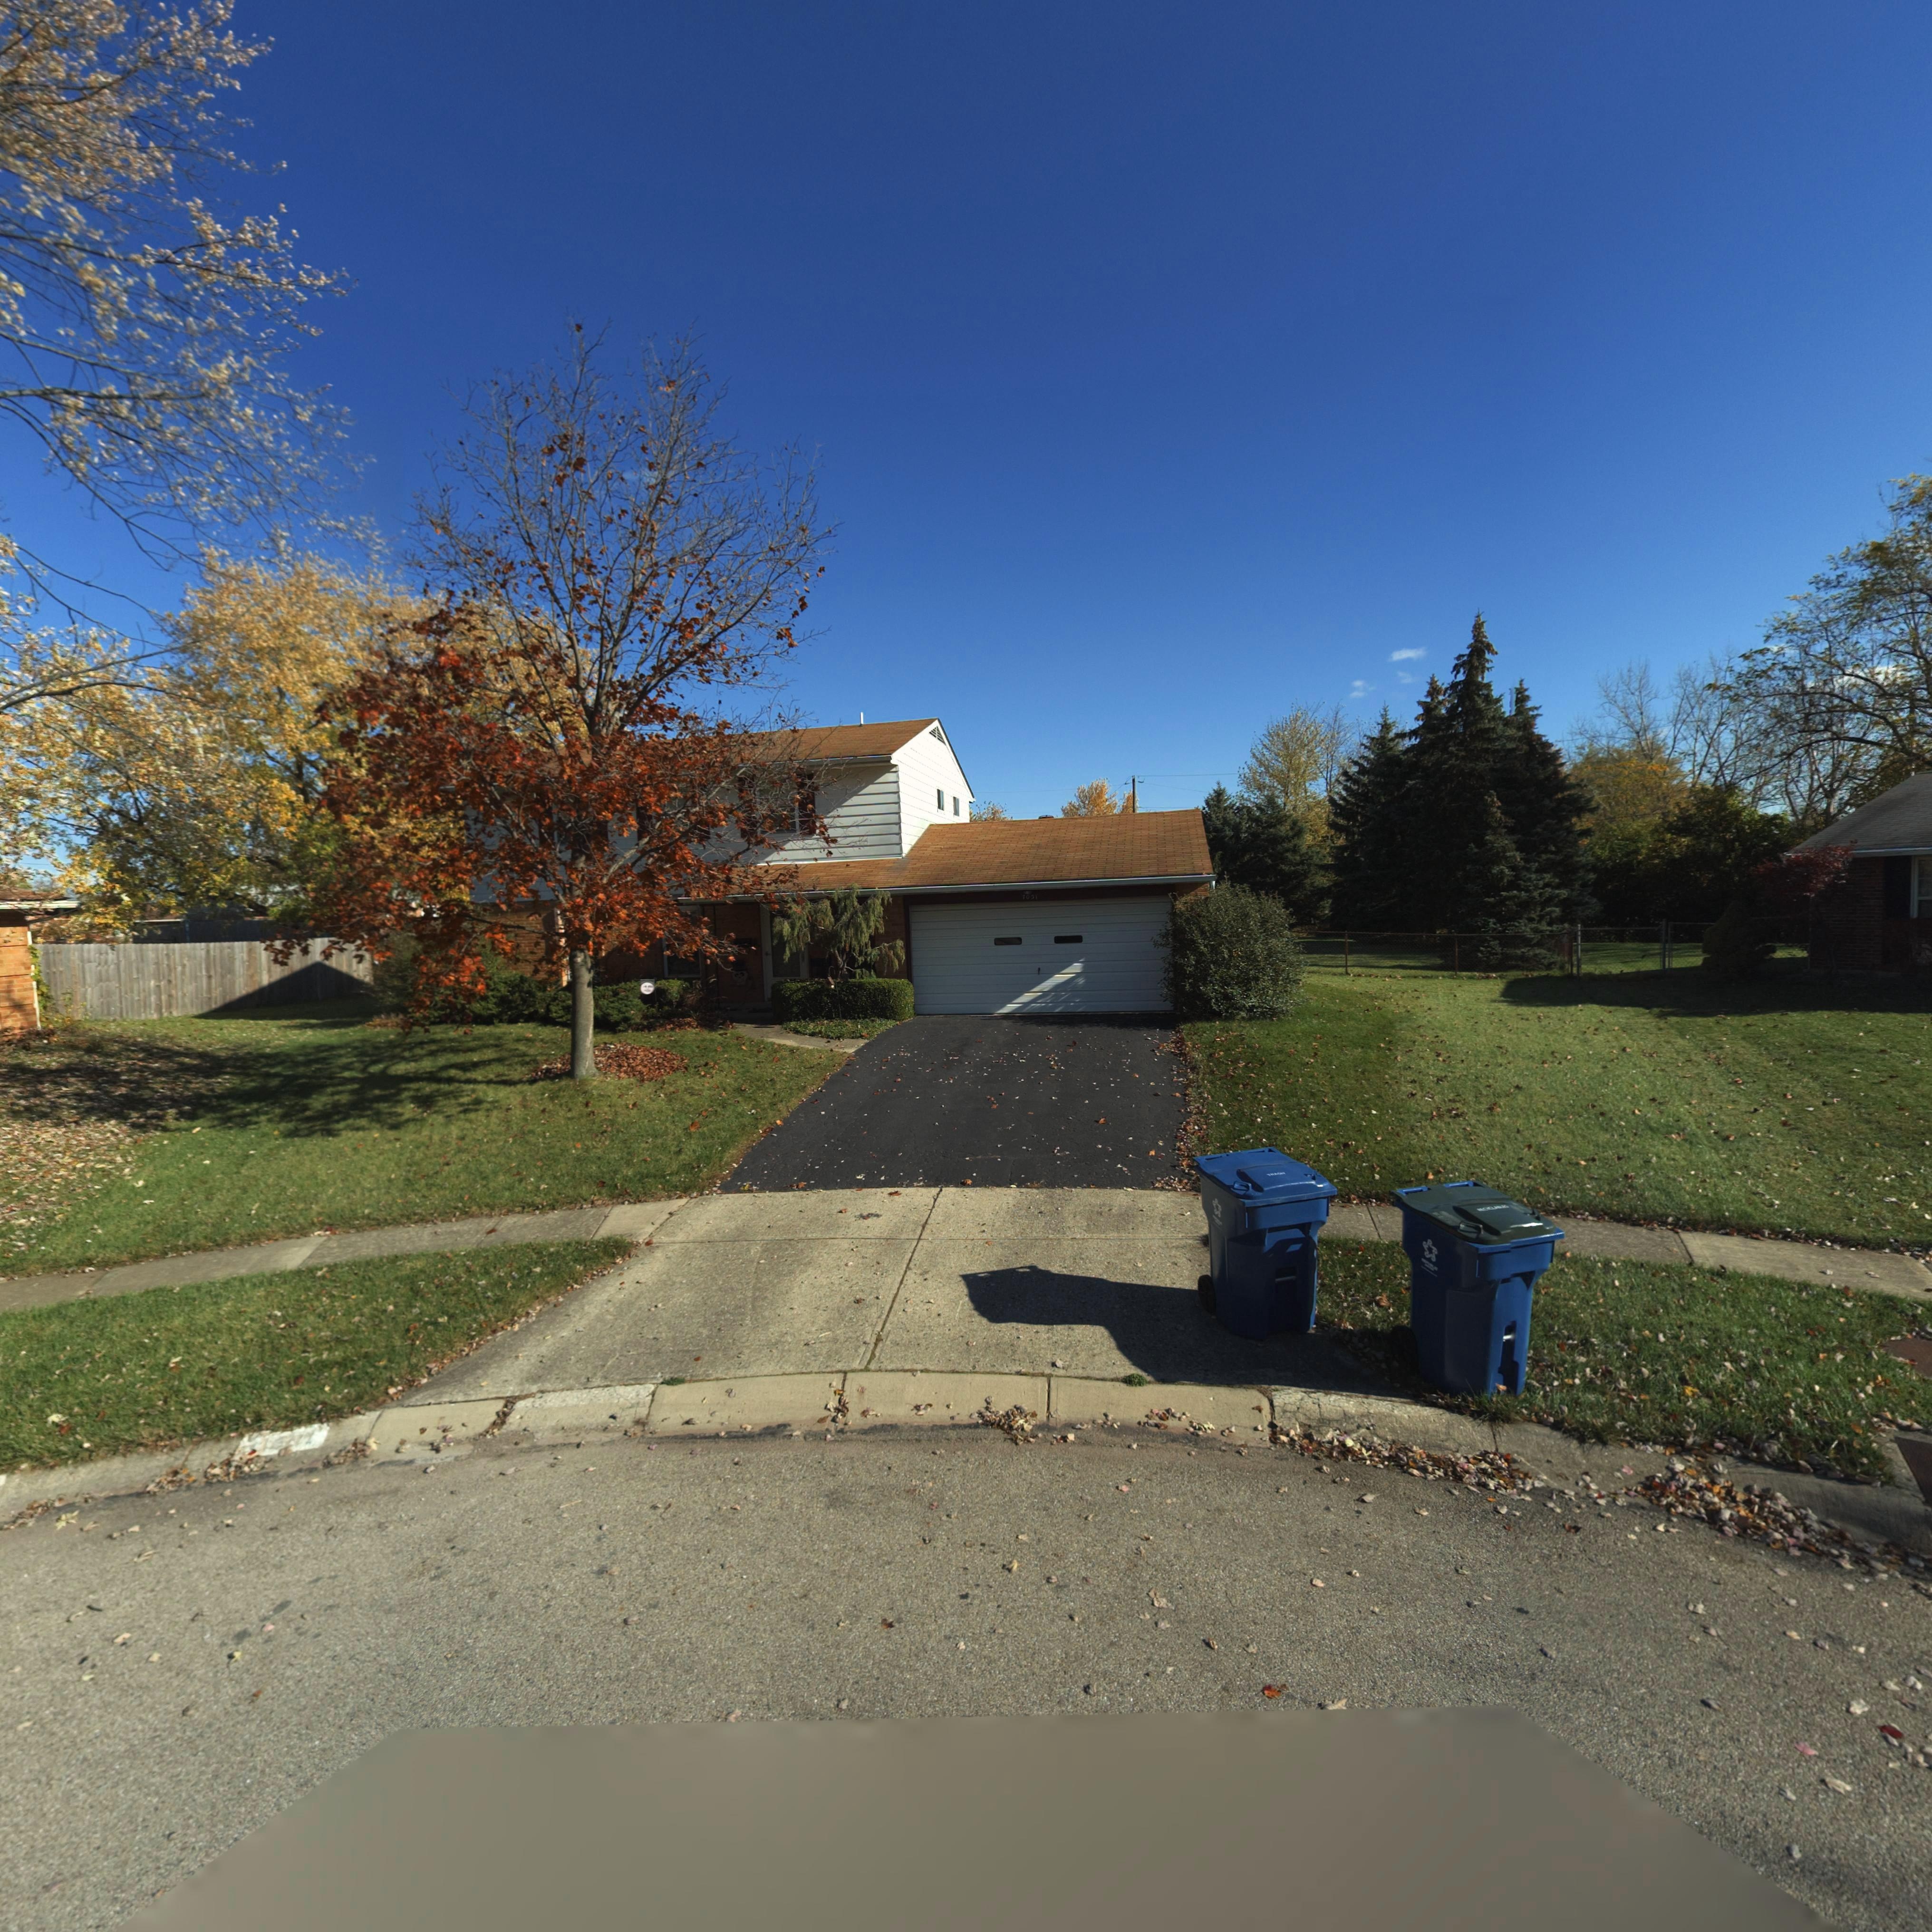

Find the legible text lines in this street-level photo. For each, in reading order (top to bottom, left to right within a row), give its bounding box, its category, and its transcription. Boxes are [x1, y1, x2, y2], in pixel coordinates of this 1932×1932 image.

[1022, 893, 1038, 900] StreetNumber: 7031
[304, 1427, 318, 1446] StreetNumber: 1